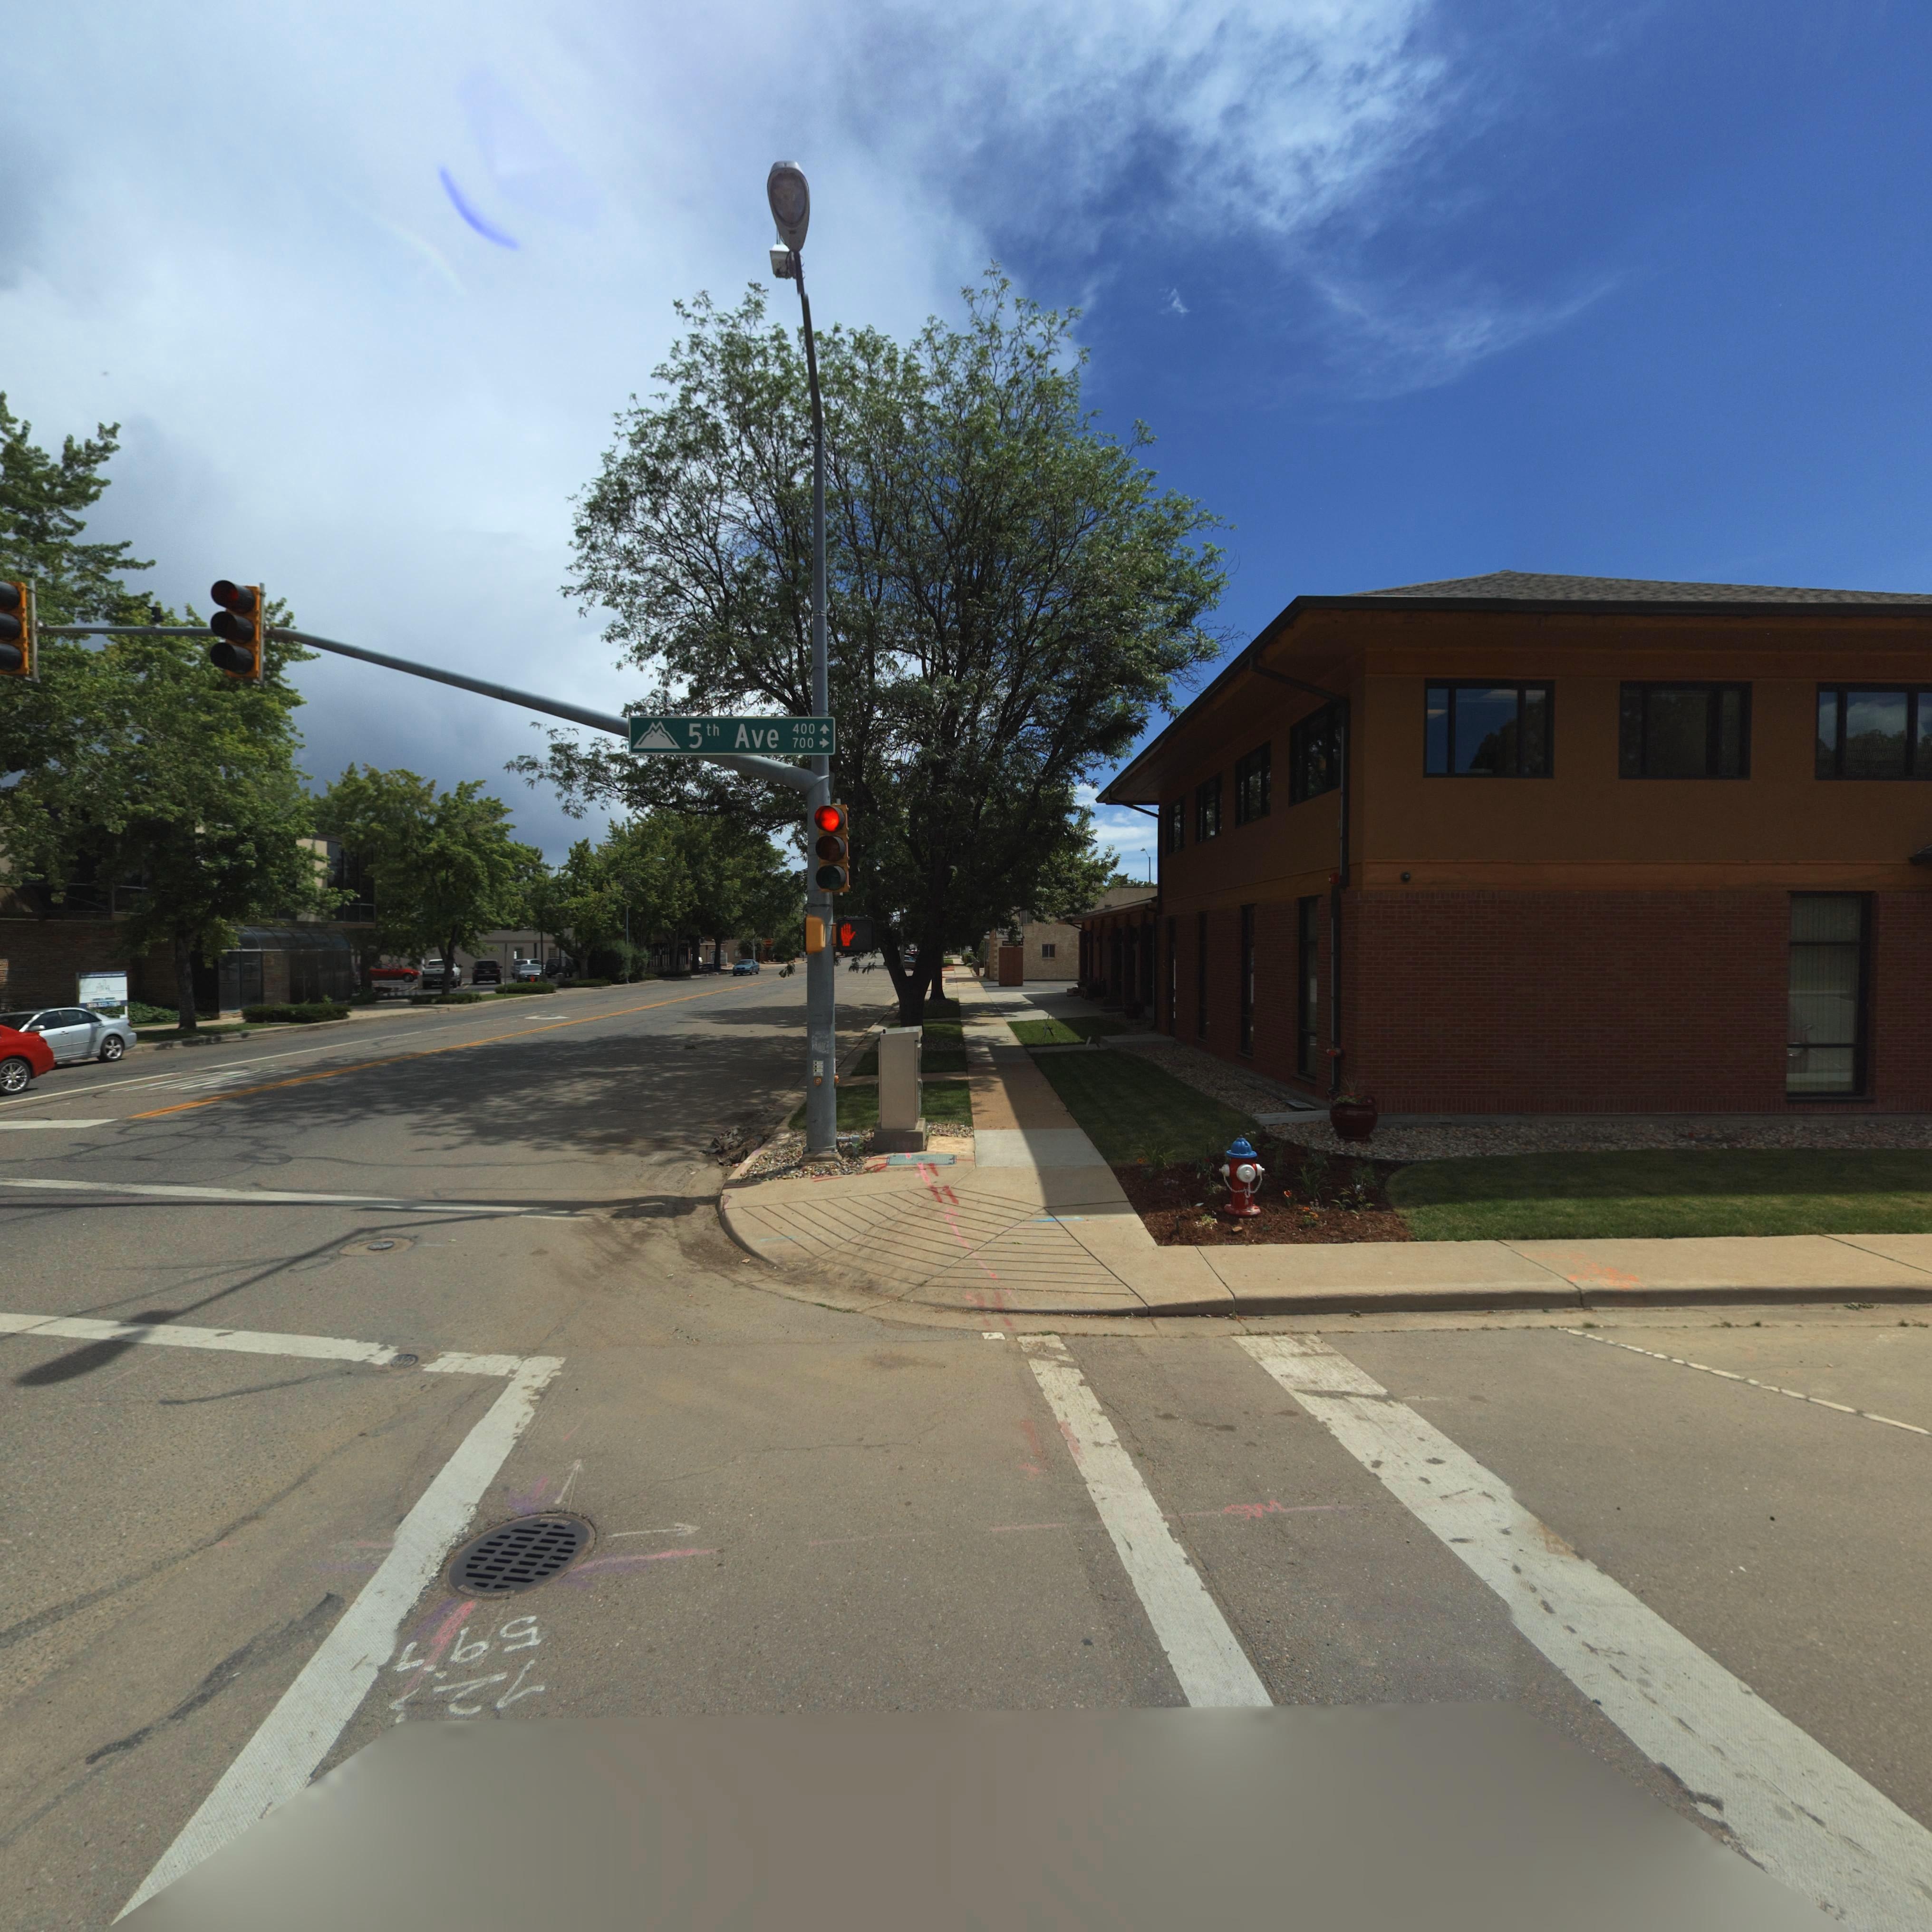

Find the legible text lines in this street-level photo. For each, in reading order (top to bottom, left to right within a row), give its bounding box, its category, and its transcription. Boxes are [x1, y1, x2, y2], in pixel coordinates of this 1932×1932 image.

[792, 723, 815, 734] StreetNumberRange: 400
[688, 723, 780, 749] StreetName: 5th Ave
[792, 737, 830, 748] StreetNumberRange: 700->